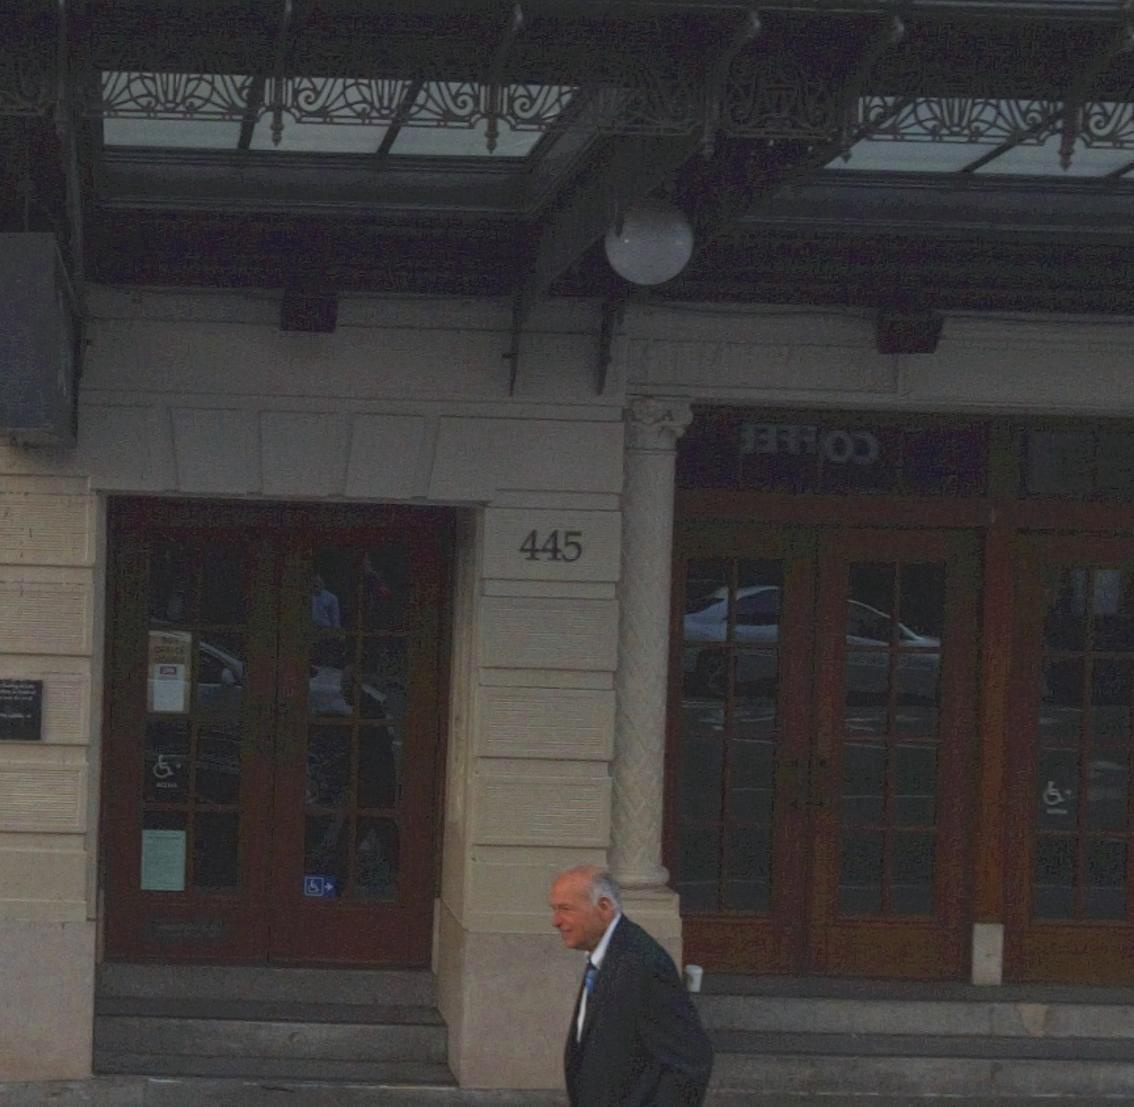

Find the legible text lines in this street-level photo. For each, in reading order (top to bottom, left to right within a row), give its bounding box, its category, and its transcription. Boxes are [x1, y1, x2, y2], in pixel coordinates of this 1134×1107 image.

[517, 528, 585, 565] StreetNumber: 445